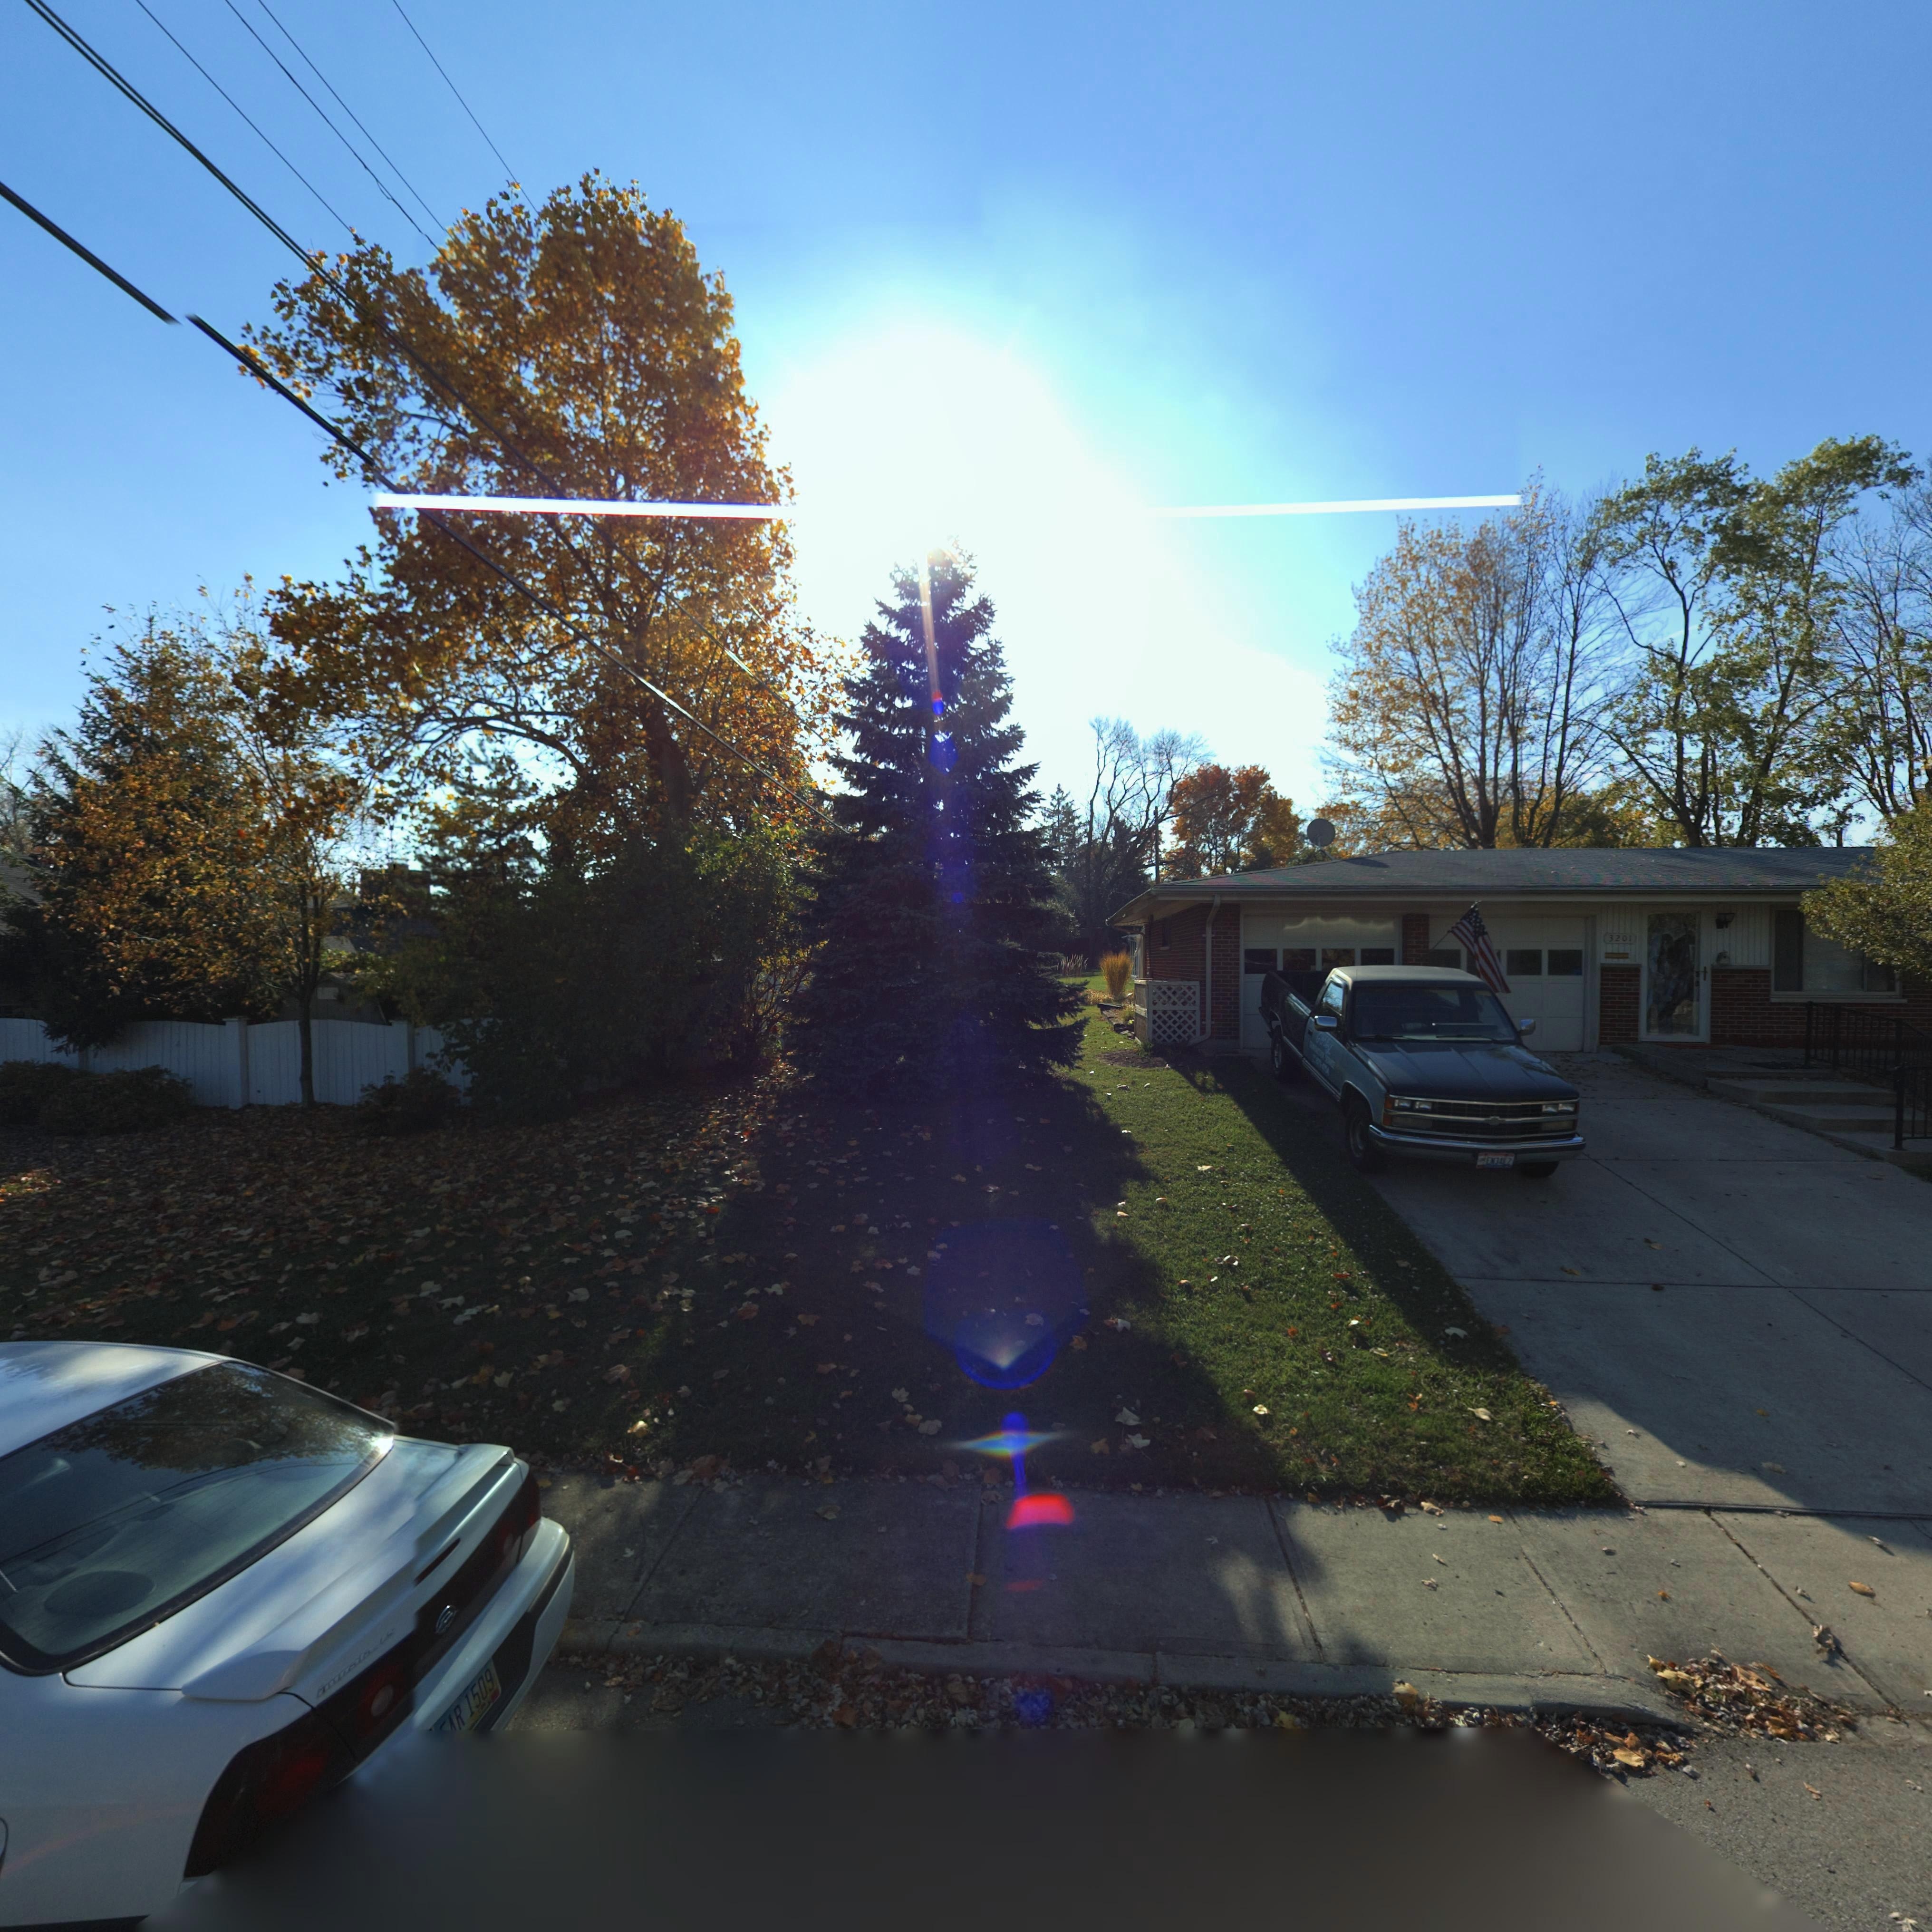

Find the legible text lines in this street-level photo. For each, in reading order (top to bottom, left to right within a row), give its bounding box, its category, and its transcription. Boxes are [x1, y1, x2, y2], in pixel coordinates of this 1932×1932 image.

[1608, 934, 1632, 942] StreetNumber: 3201